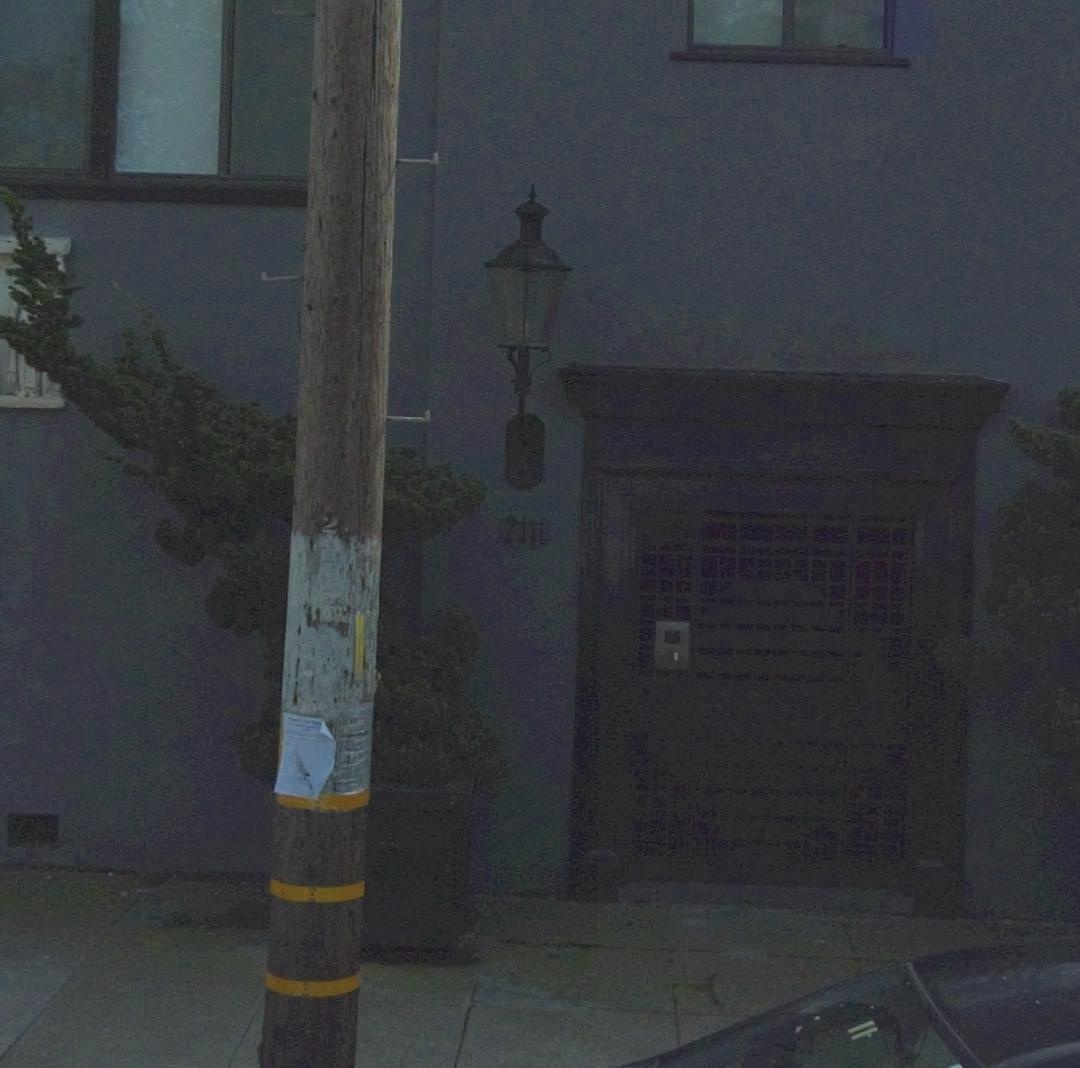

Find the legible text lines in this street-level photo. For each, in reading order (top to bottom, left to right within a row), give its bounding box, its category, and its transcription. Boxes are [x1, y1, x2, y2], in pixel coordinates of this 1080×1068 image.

[500, 510, 548, 549] StreetNumber: 2111